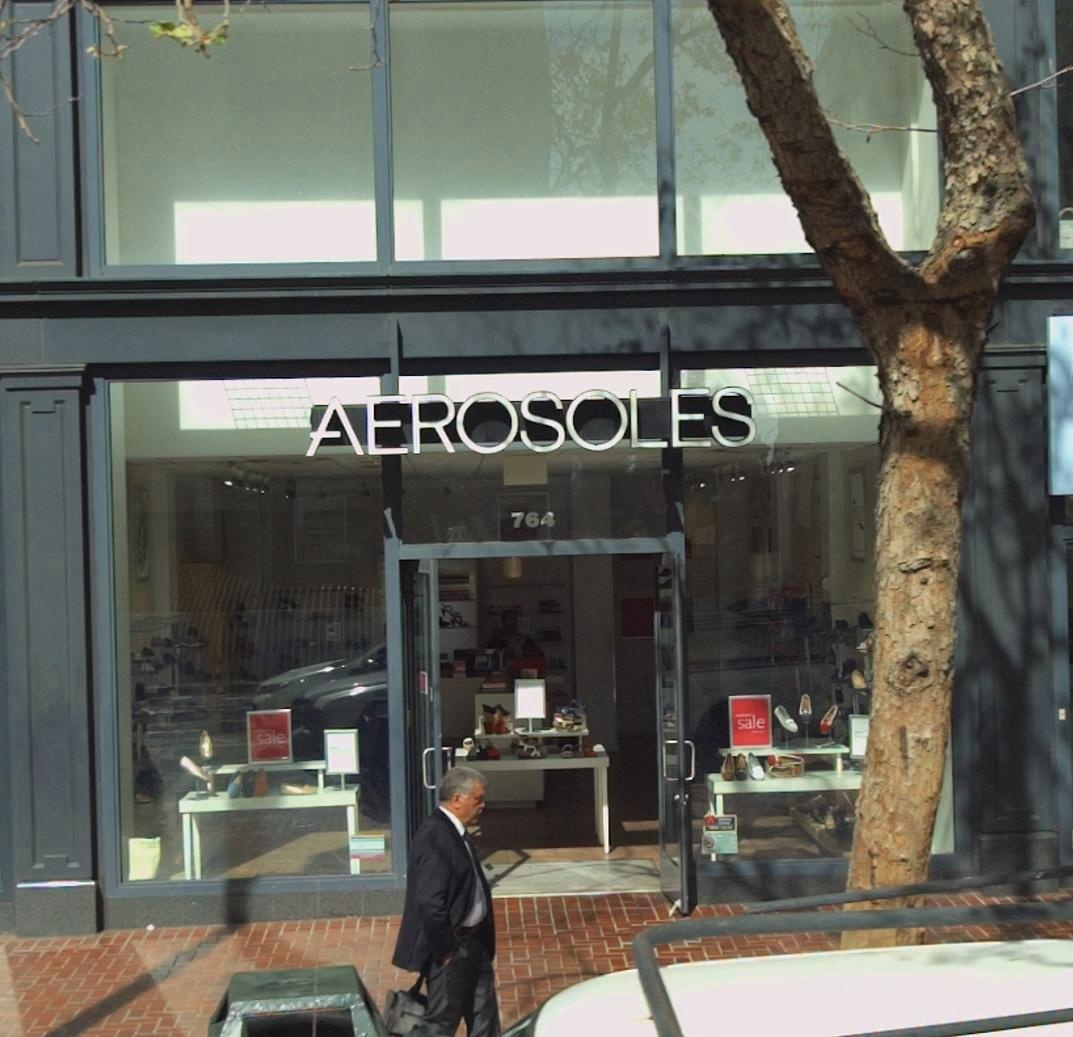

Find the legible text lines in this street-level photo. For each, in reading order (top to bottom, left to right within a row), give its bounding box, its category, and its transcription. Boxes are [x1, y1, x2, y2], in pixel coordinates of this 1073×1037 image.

[299, 382, 760, 461] BusinessName: AEROSOLES
[507, 508, 558, 531] StreetNumber: 764
[736, 710, 768, 733] None: sale
[255, 727, 289, 747] None: sale